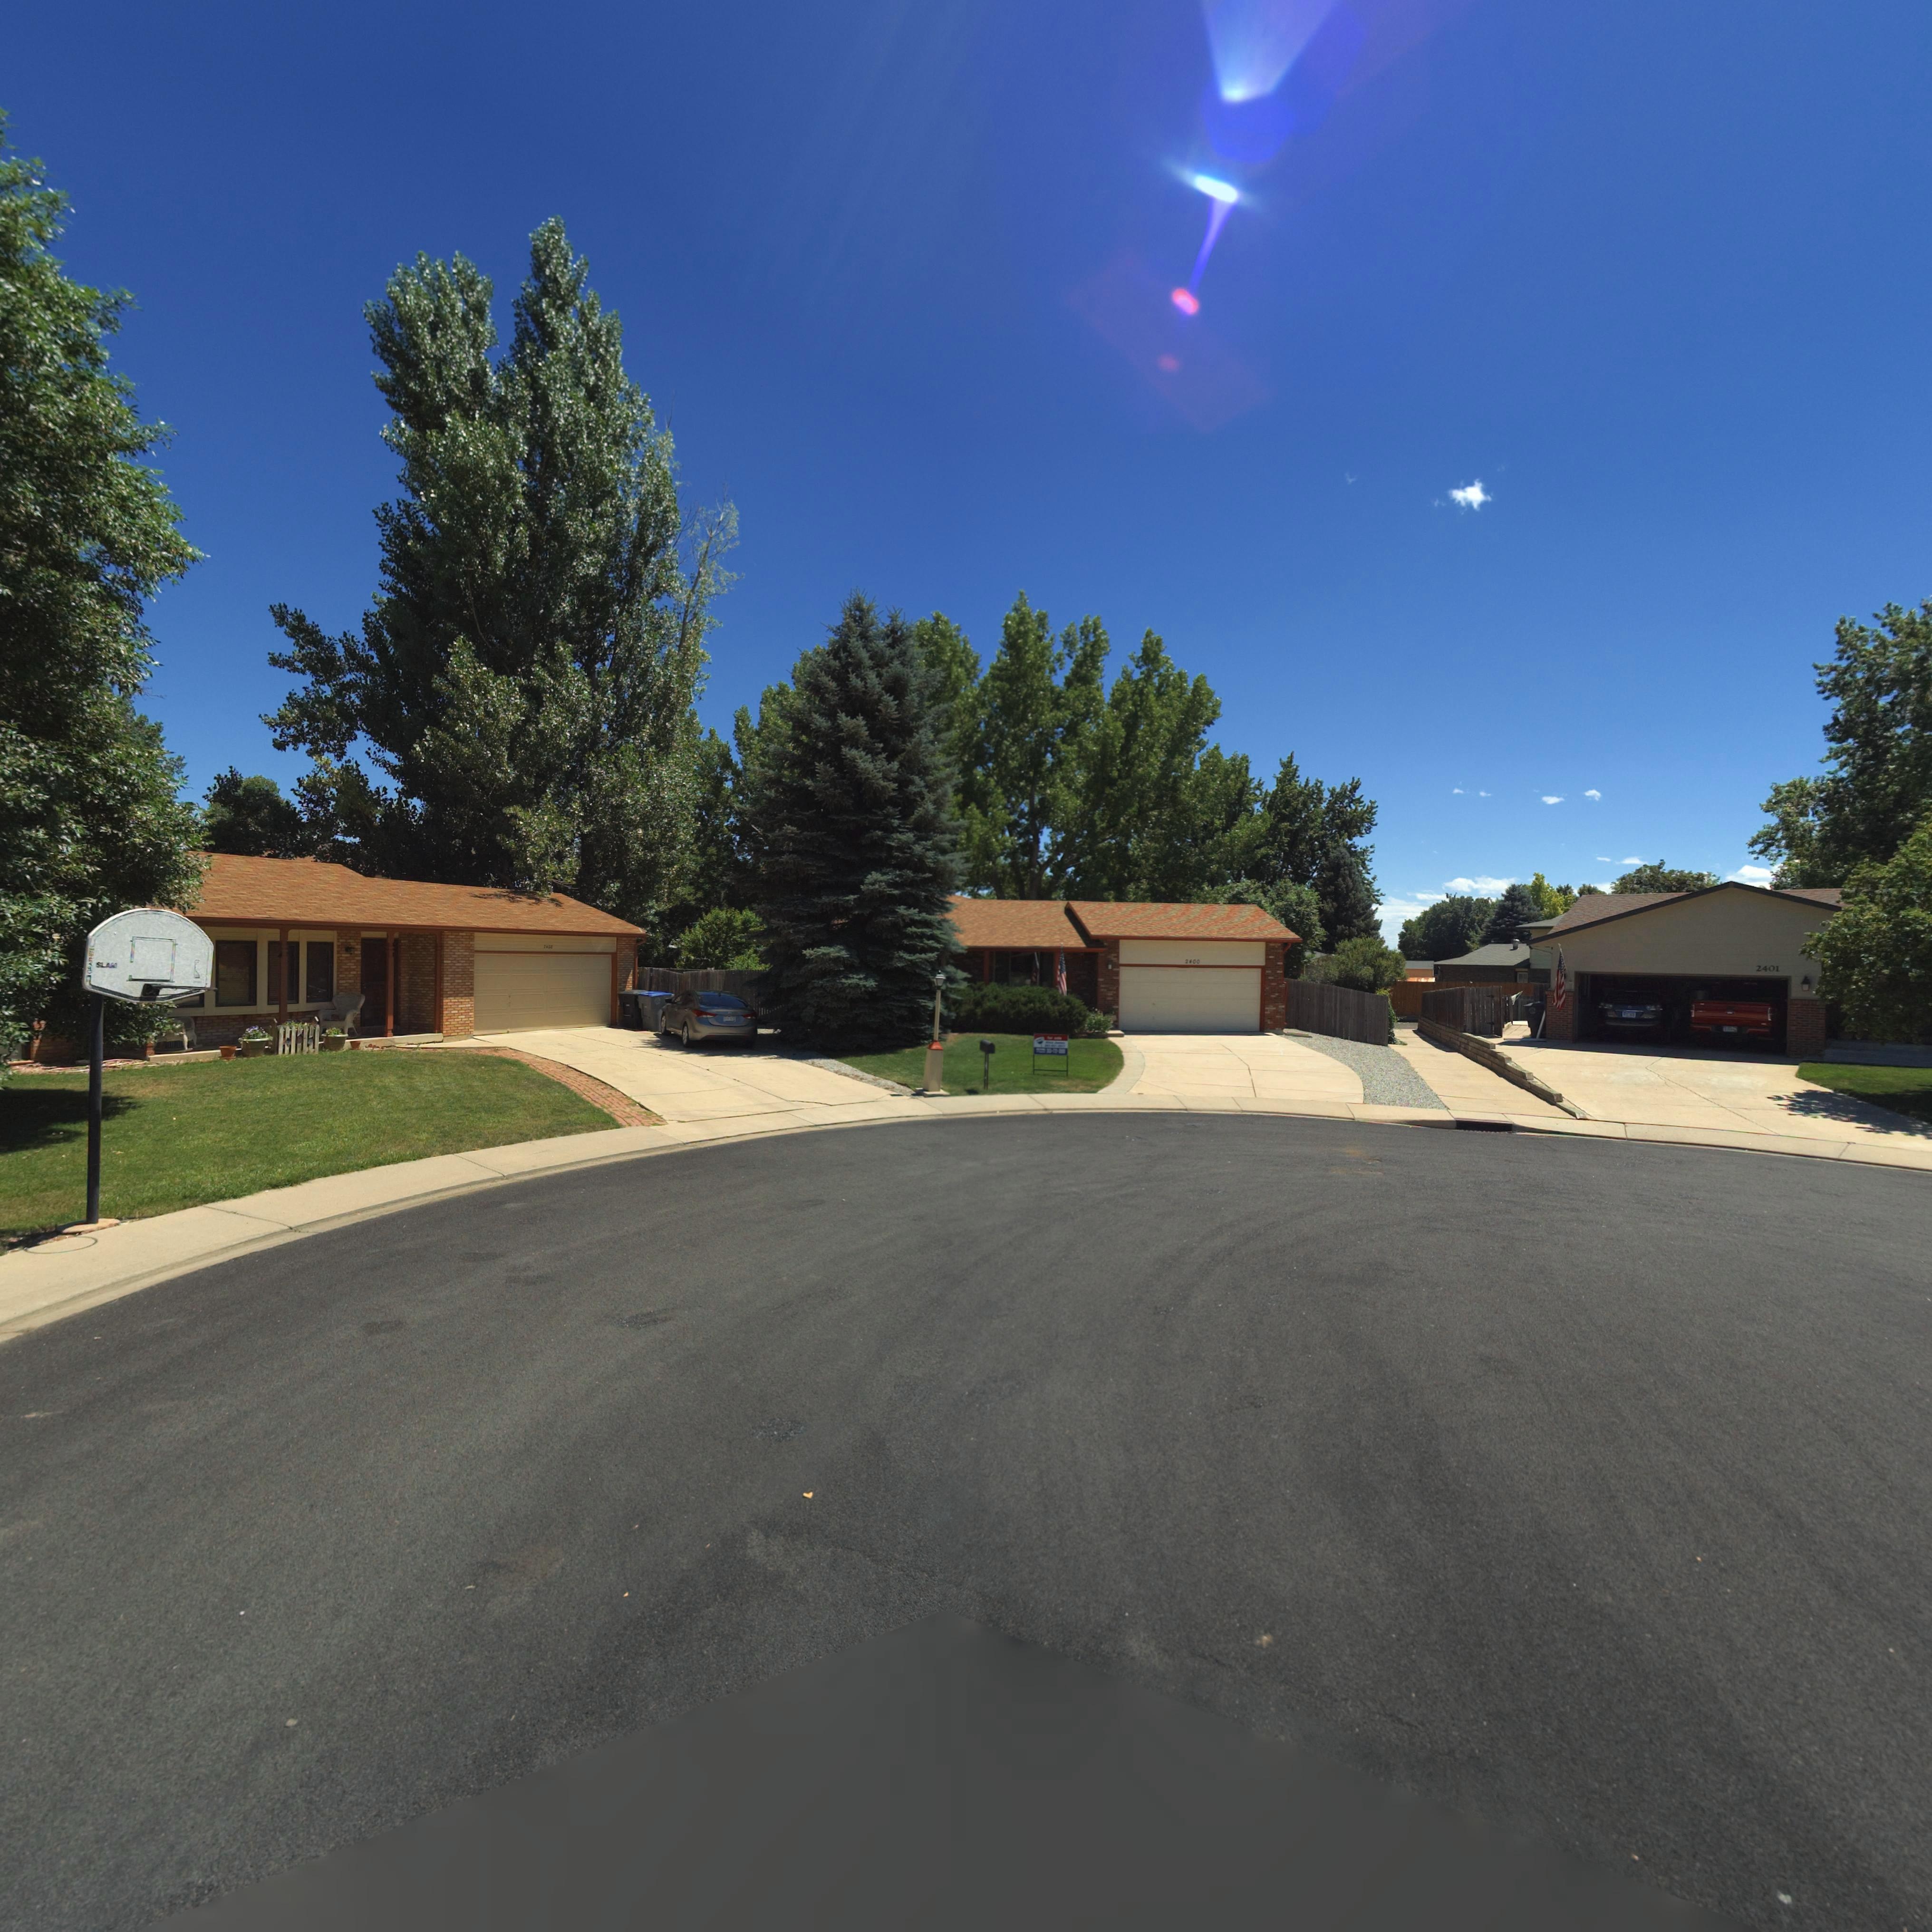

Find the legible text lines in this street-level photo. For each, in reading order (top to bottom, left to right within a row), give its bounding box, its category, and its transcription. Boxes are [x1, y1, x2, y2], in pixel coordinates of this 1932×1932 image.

[543, 945, 552, 949] StreetNumber: 2*04
[1185, 958, 1200, 964] StreetNumber: 2400
[1755, 965, 1779, 972] StreetNumber: 2401